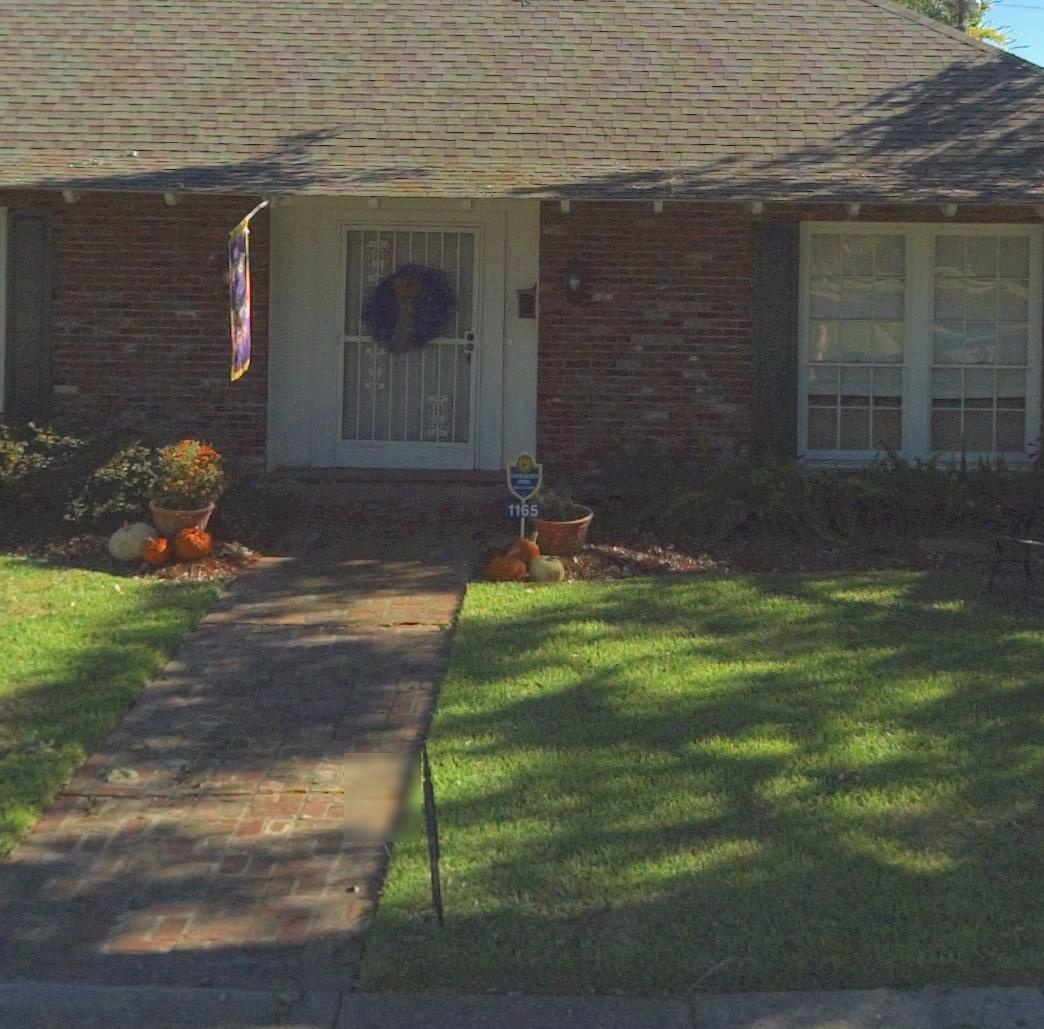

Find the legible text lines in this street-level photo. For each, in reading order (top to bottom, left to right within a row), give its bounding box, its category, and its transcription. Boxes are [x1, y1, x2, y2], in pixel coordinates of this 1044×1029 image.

[506, 502, 540, 519] StreetNumber: 1165